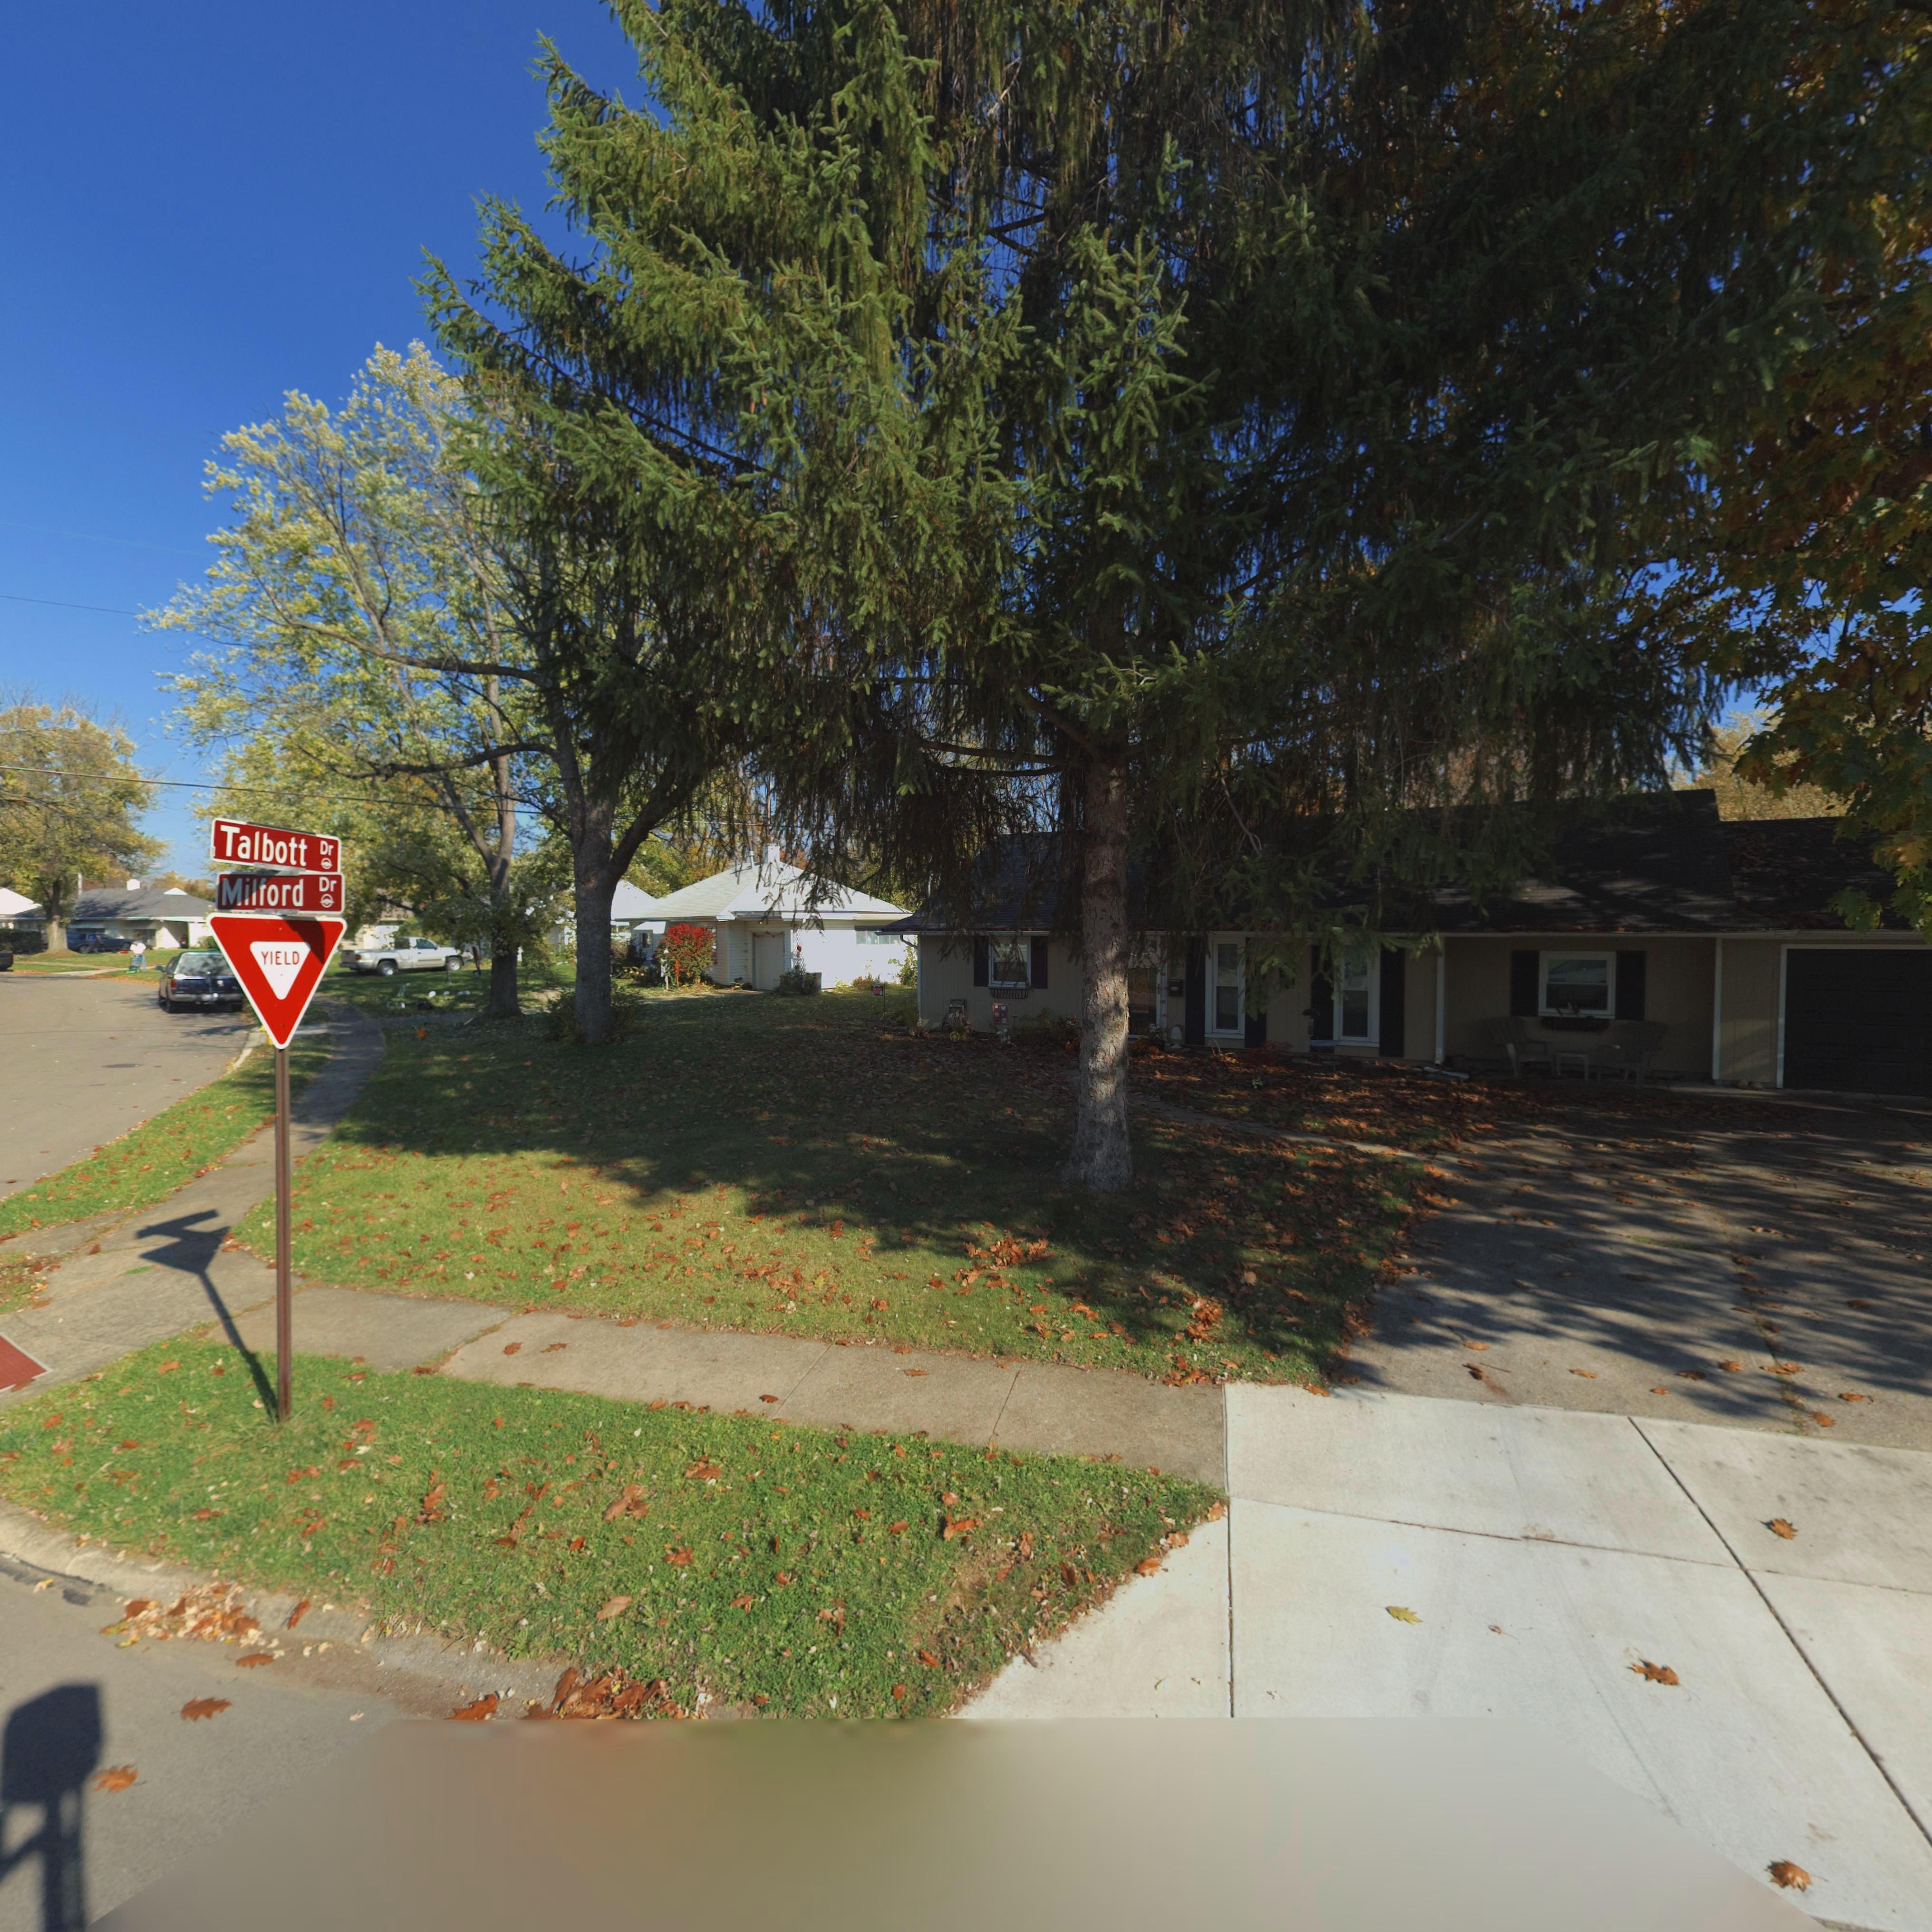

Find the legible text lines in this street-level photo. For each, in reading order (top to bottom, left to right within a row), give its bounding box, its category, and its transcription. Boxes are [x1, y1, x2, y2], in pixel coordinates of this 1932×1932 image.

[216, 821, 337, 870] StreetName: Talbott Dr
[219, 875, 339, 909] StreetName: Milford Dr
[259, 948, 301, 966] None: YIELD